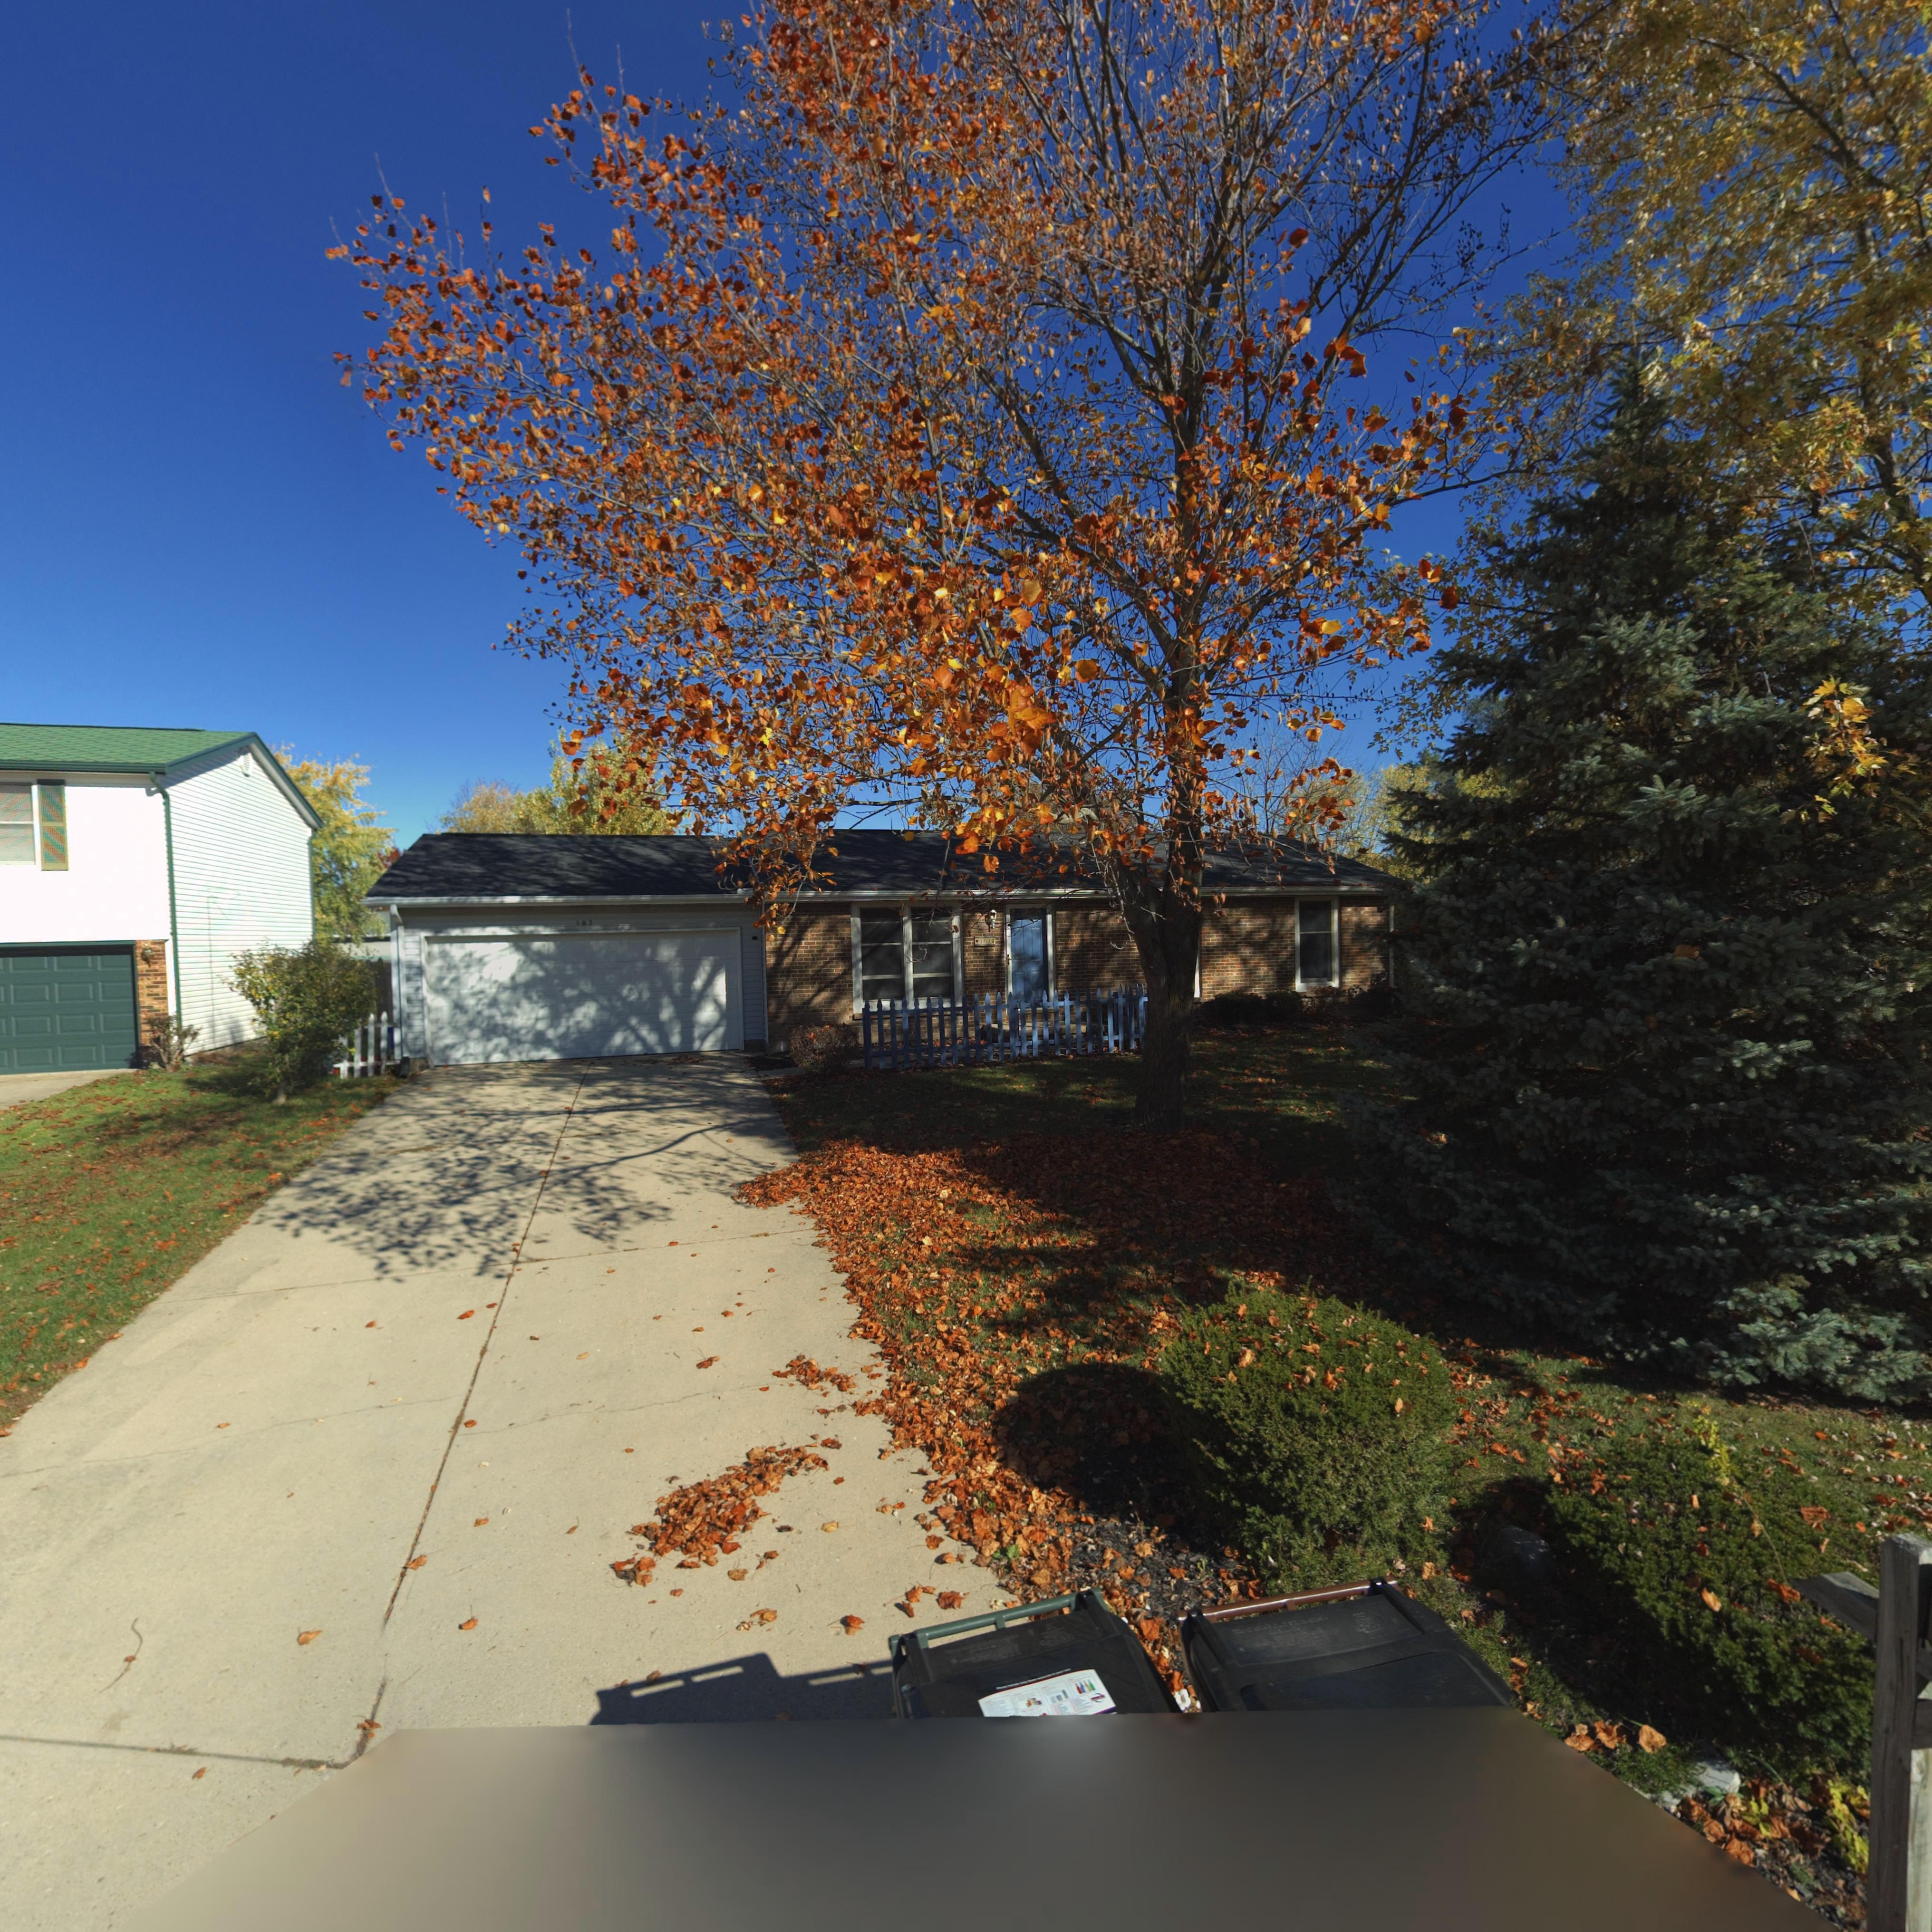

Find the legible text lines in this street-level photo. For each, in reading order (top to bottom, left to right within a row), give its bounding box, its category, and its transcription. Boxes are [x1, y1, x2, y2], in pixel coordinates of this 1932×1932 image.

[576, 919, 593, 927] StreetNumber: 107
[979, 938, 995, 945] StreetNumber: 10*